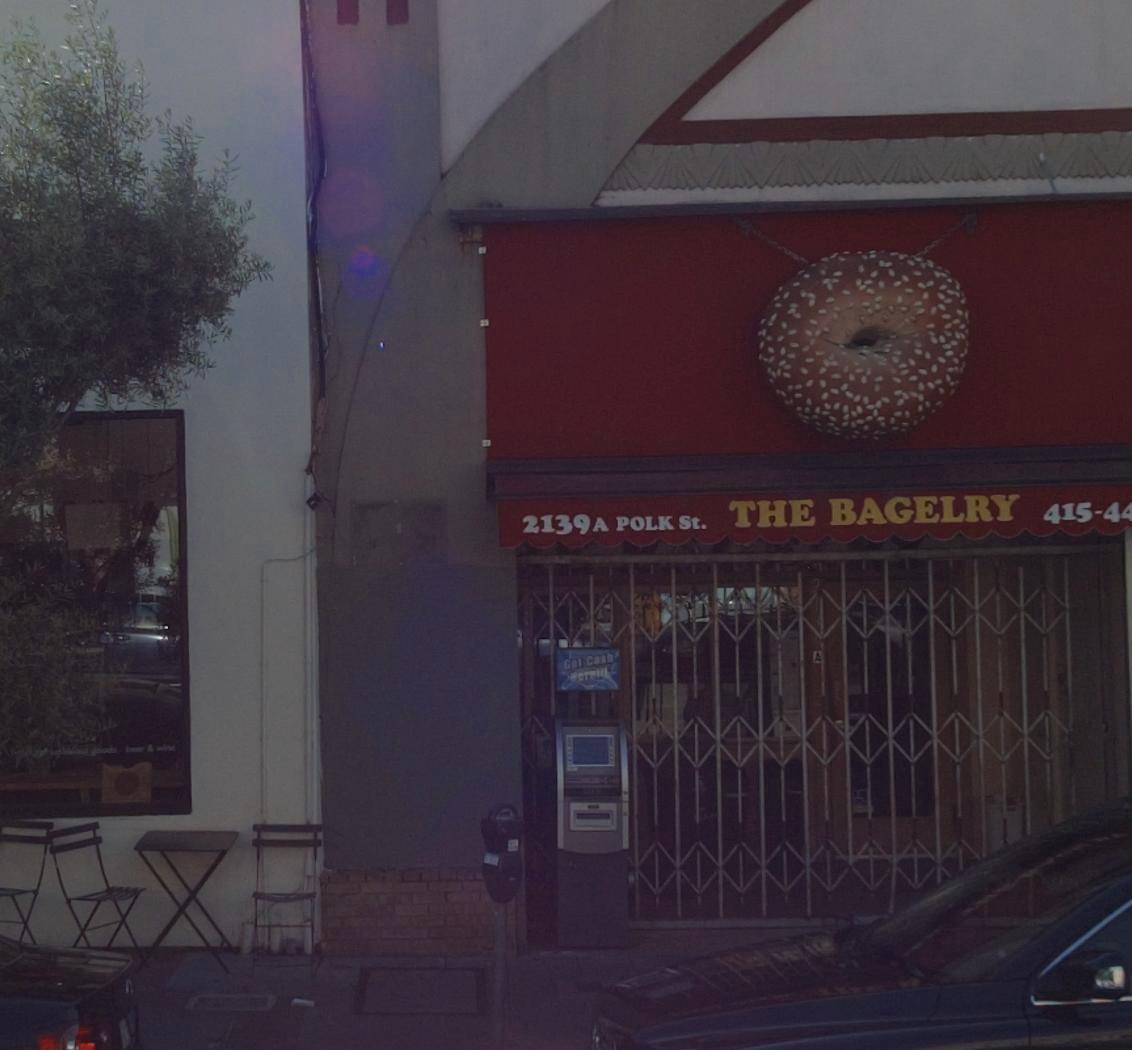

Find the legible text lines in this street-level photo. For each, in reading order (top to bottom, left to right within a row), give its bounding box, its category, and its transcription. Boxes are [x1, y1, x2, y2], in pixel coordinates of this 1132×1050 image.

[521, 511, 613, 536] StreetNumber: 2139 A
[614, 511, 705, 533] StreetName: POLK St.
[726, 491, 1017, 529] BusinessName: THE BAGELRY
[1042, 499, 1122, 527] None: 415-4
[561, 650, 615, 672] None: Get Cash
[567, 669, 596, 686] None: Here